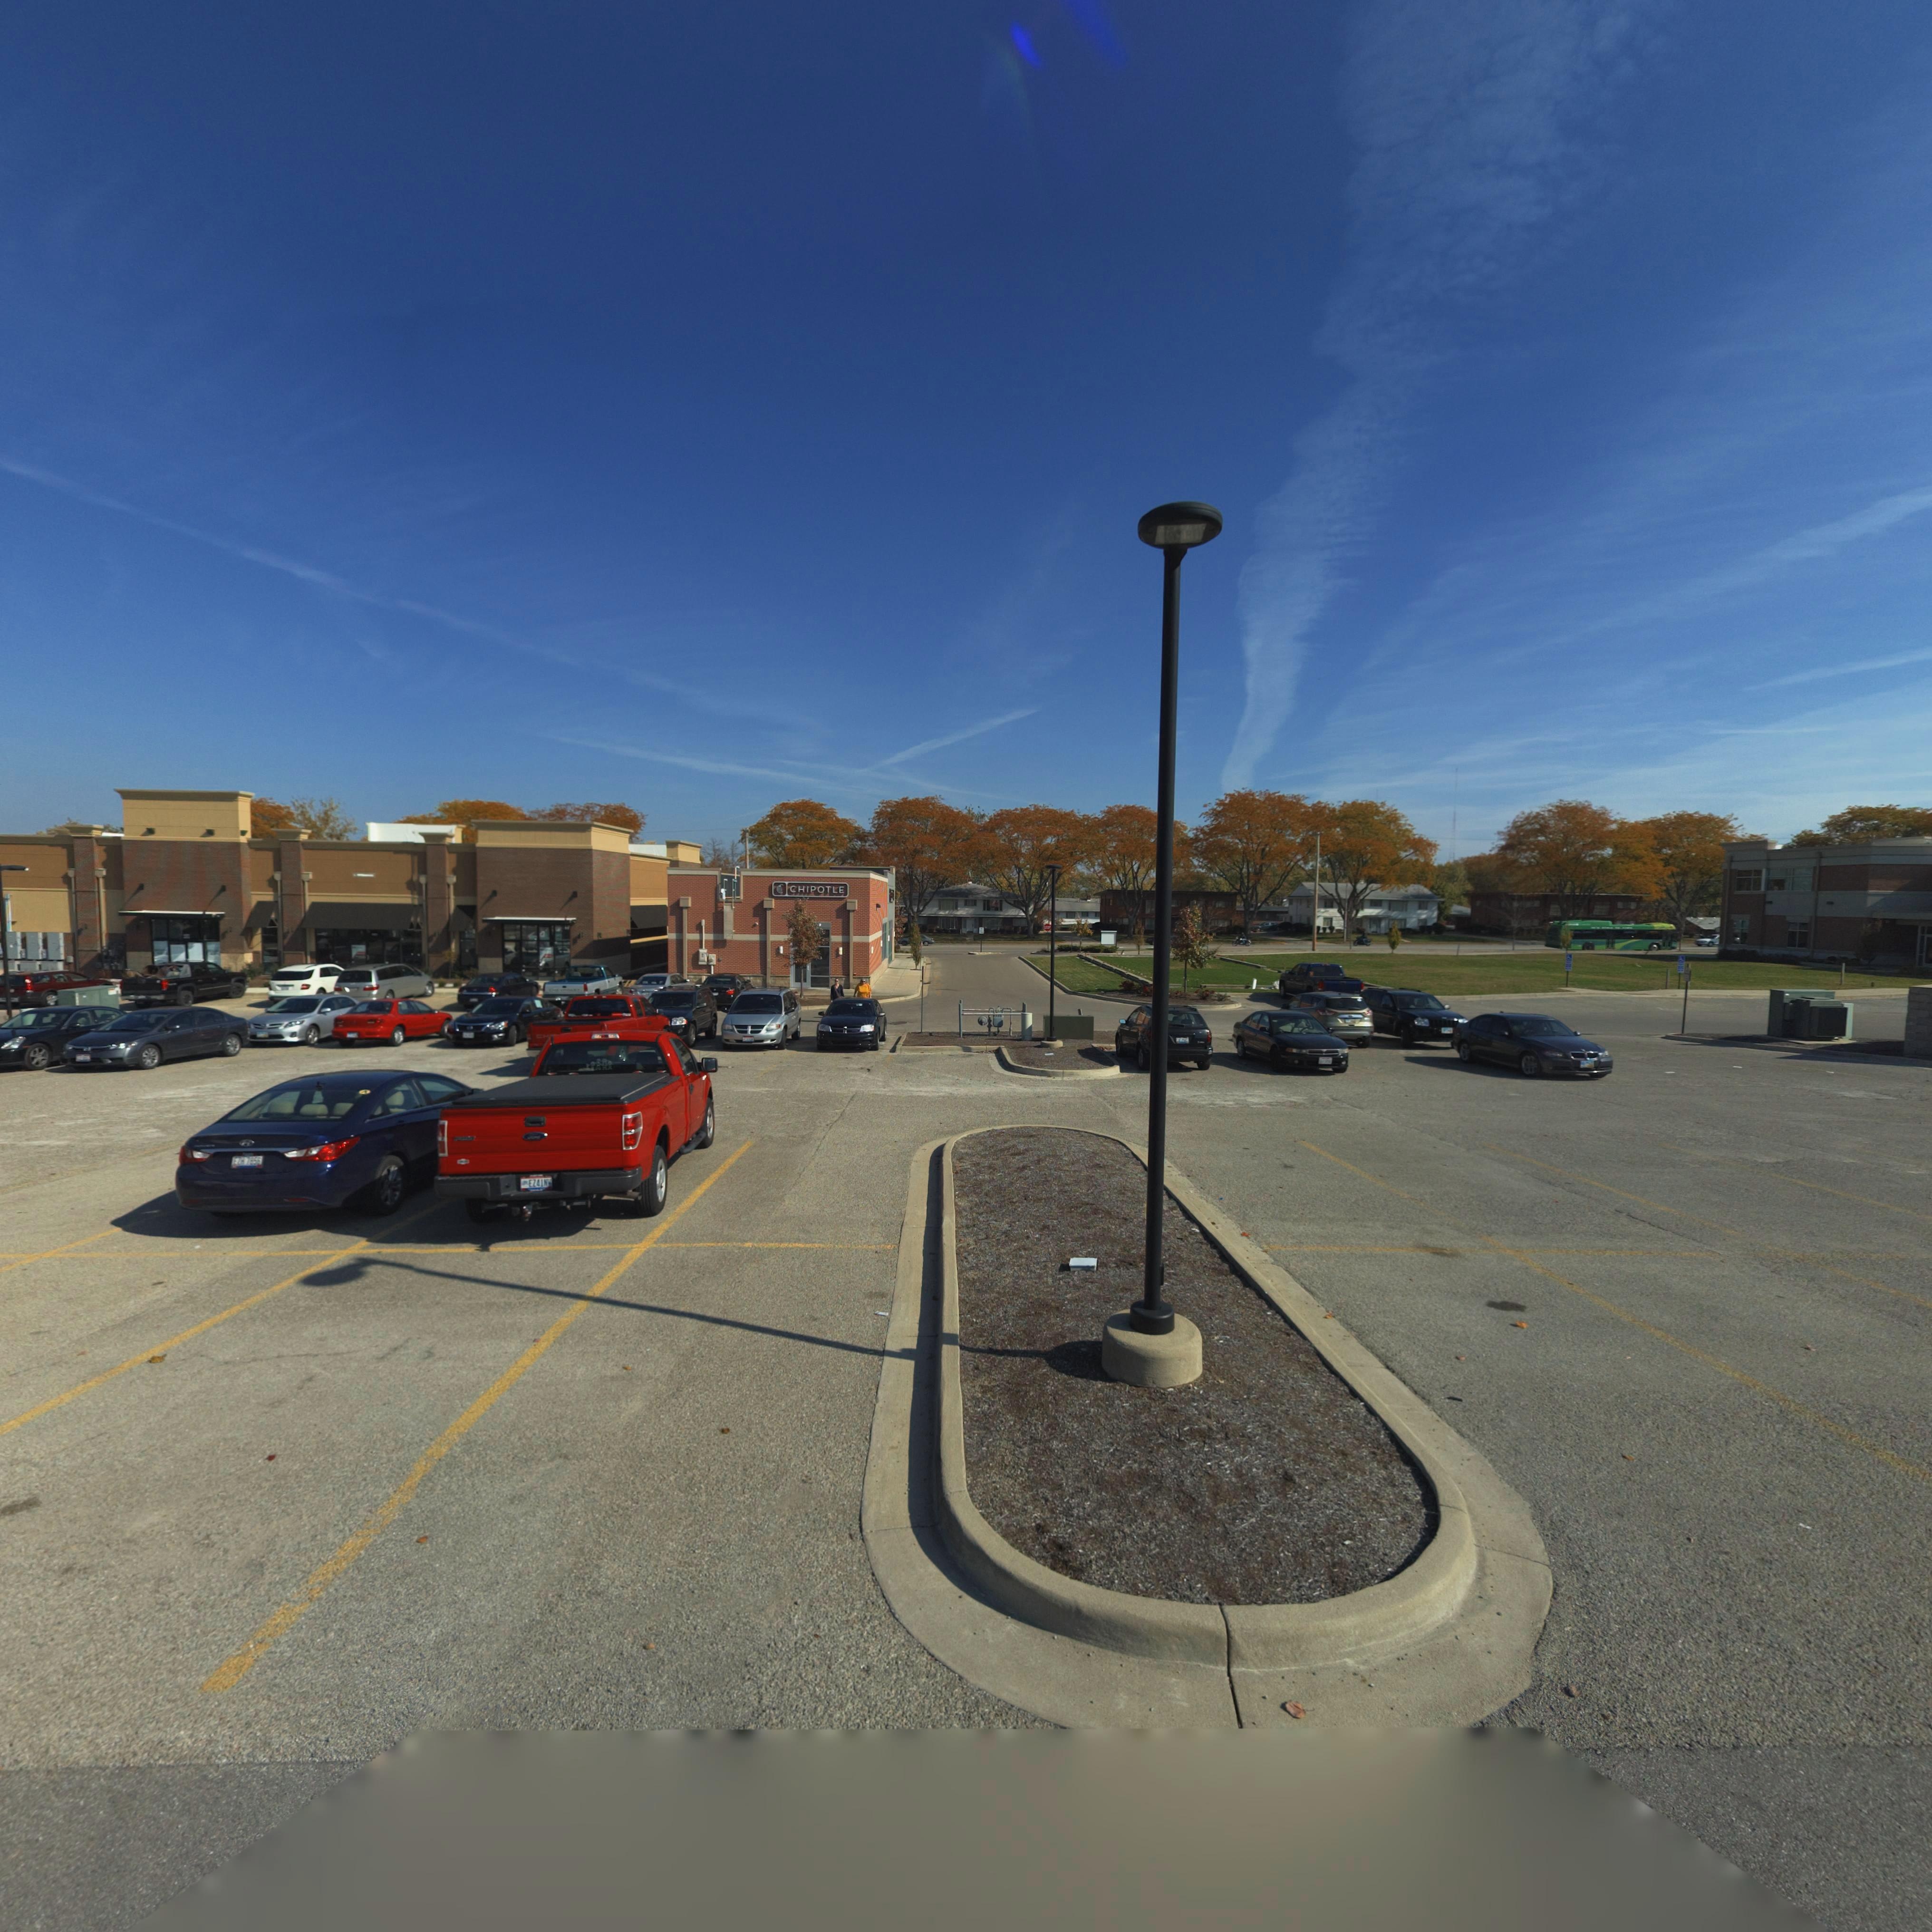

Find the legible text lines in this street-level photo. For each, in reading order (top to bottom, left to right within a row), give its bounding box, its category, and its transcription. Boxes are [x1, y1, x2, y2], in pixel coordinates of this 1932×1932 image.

[789, 884, 845, 894] StreetNumber: CHIPOTLE